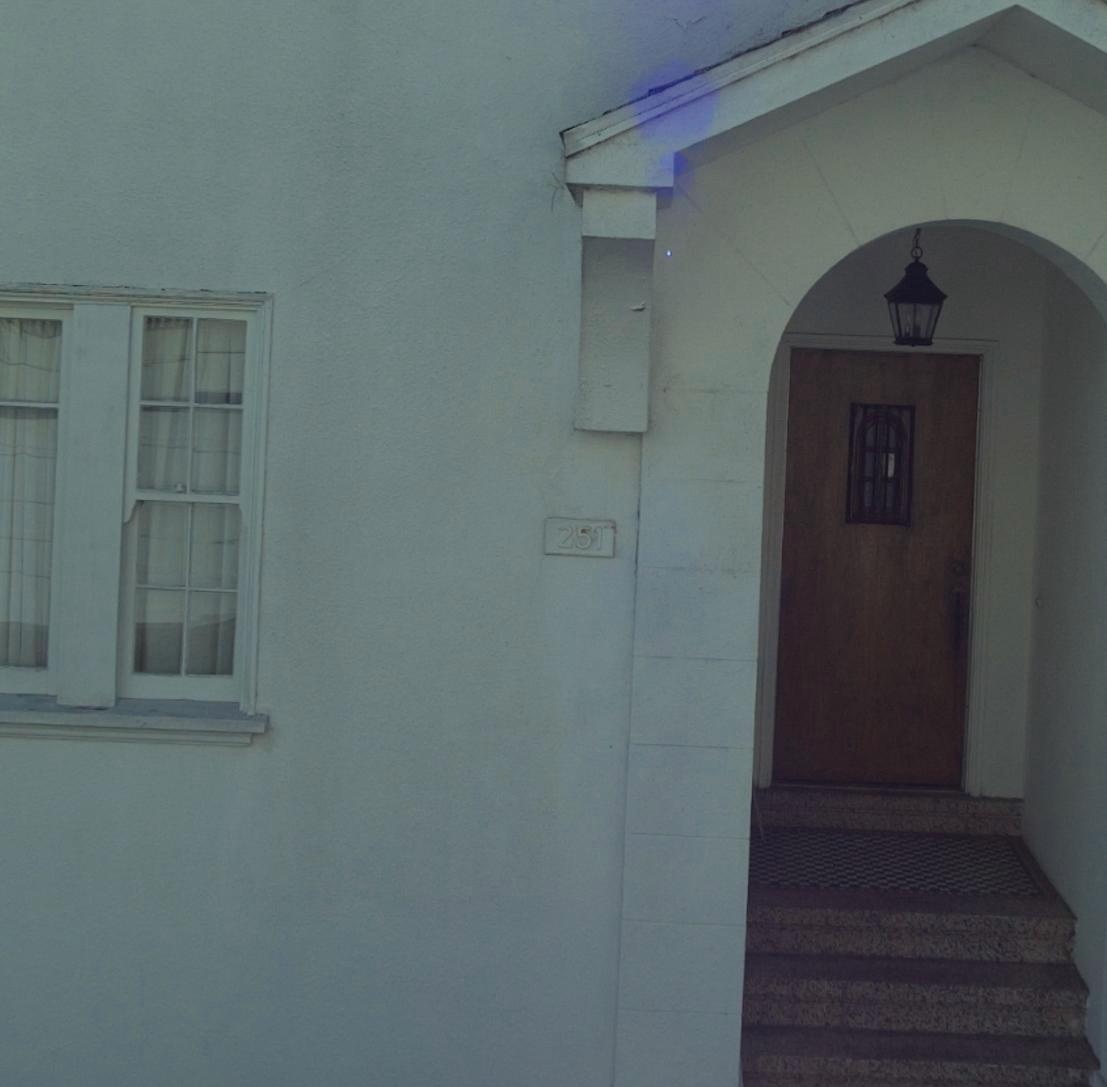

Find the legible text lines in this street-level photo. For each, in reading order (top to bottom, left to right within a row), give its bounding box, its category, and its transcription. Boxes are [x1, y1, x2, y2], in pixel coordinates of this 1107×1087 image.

[557, 523, 604, 552] StreetNumber: 251